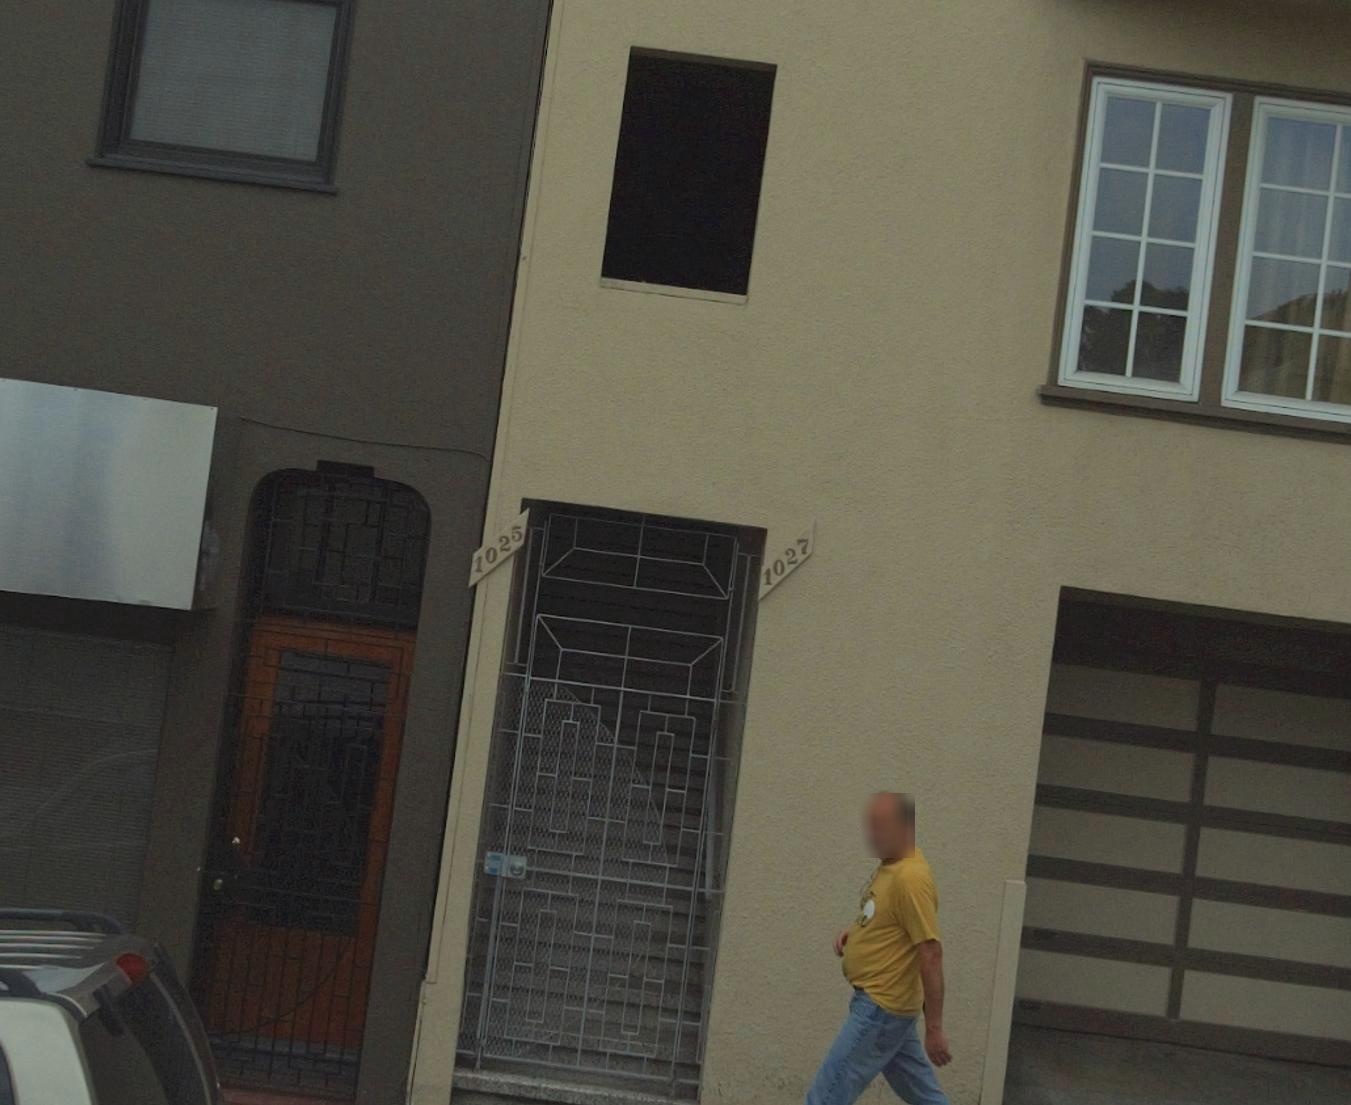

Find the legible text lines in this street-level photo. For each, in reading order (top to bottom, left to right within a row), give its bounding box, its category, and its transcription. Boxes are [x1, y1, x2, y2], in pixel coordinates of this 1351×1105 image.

[471, 518, 530, 585] StreetNumber: 1025
[760, 529, 816, 593] StreetNumber: 1027